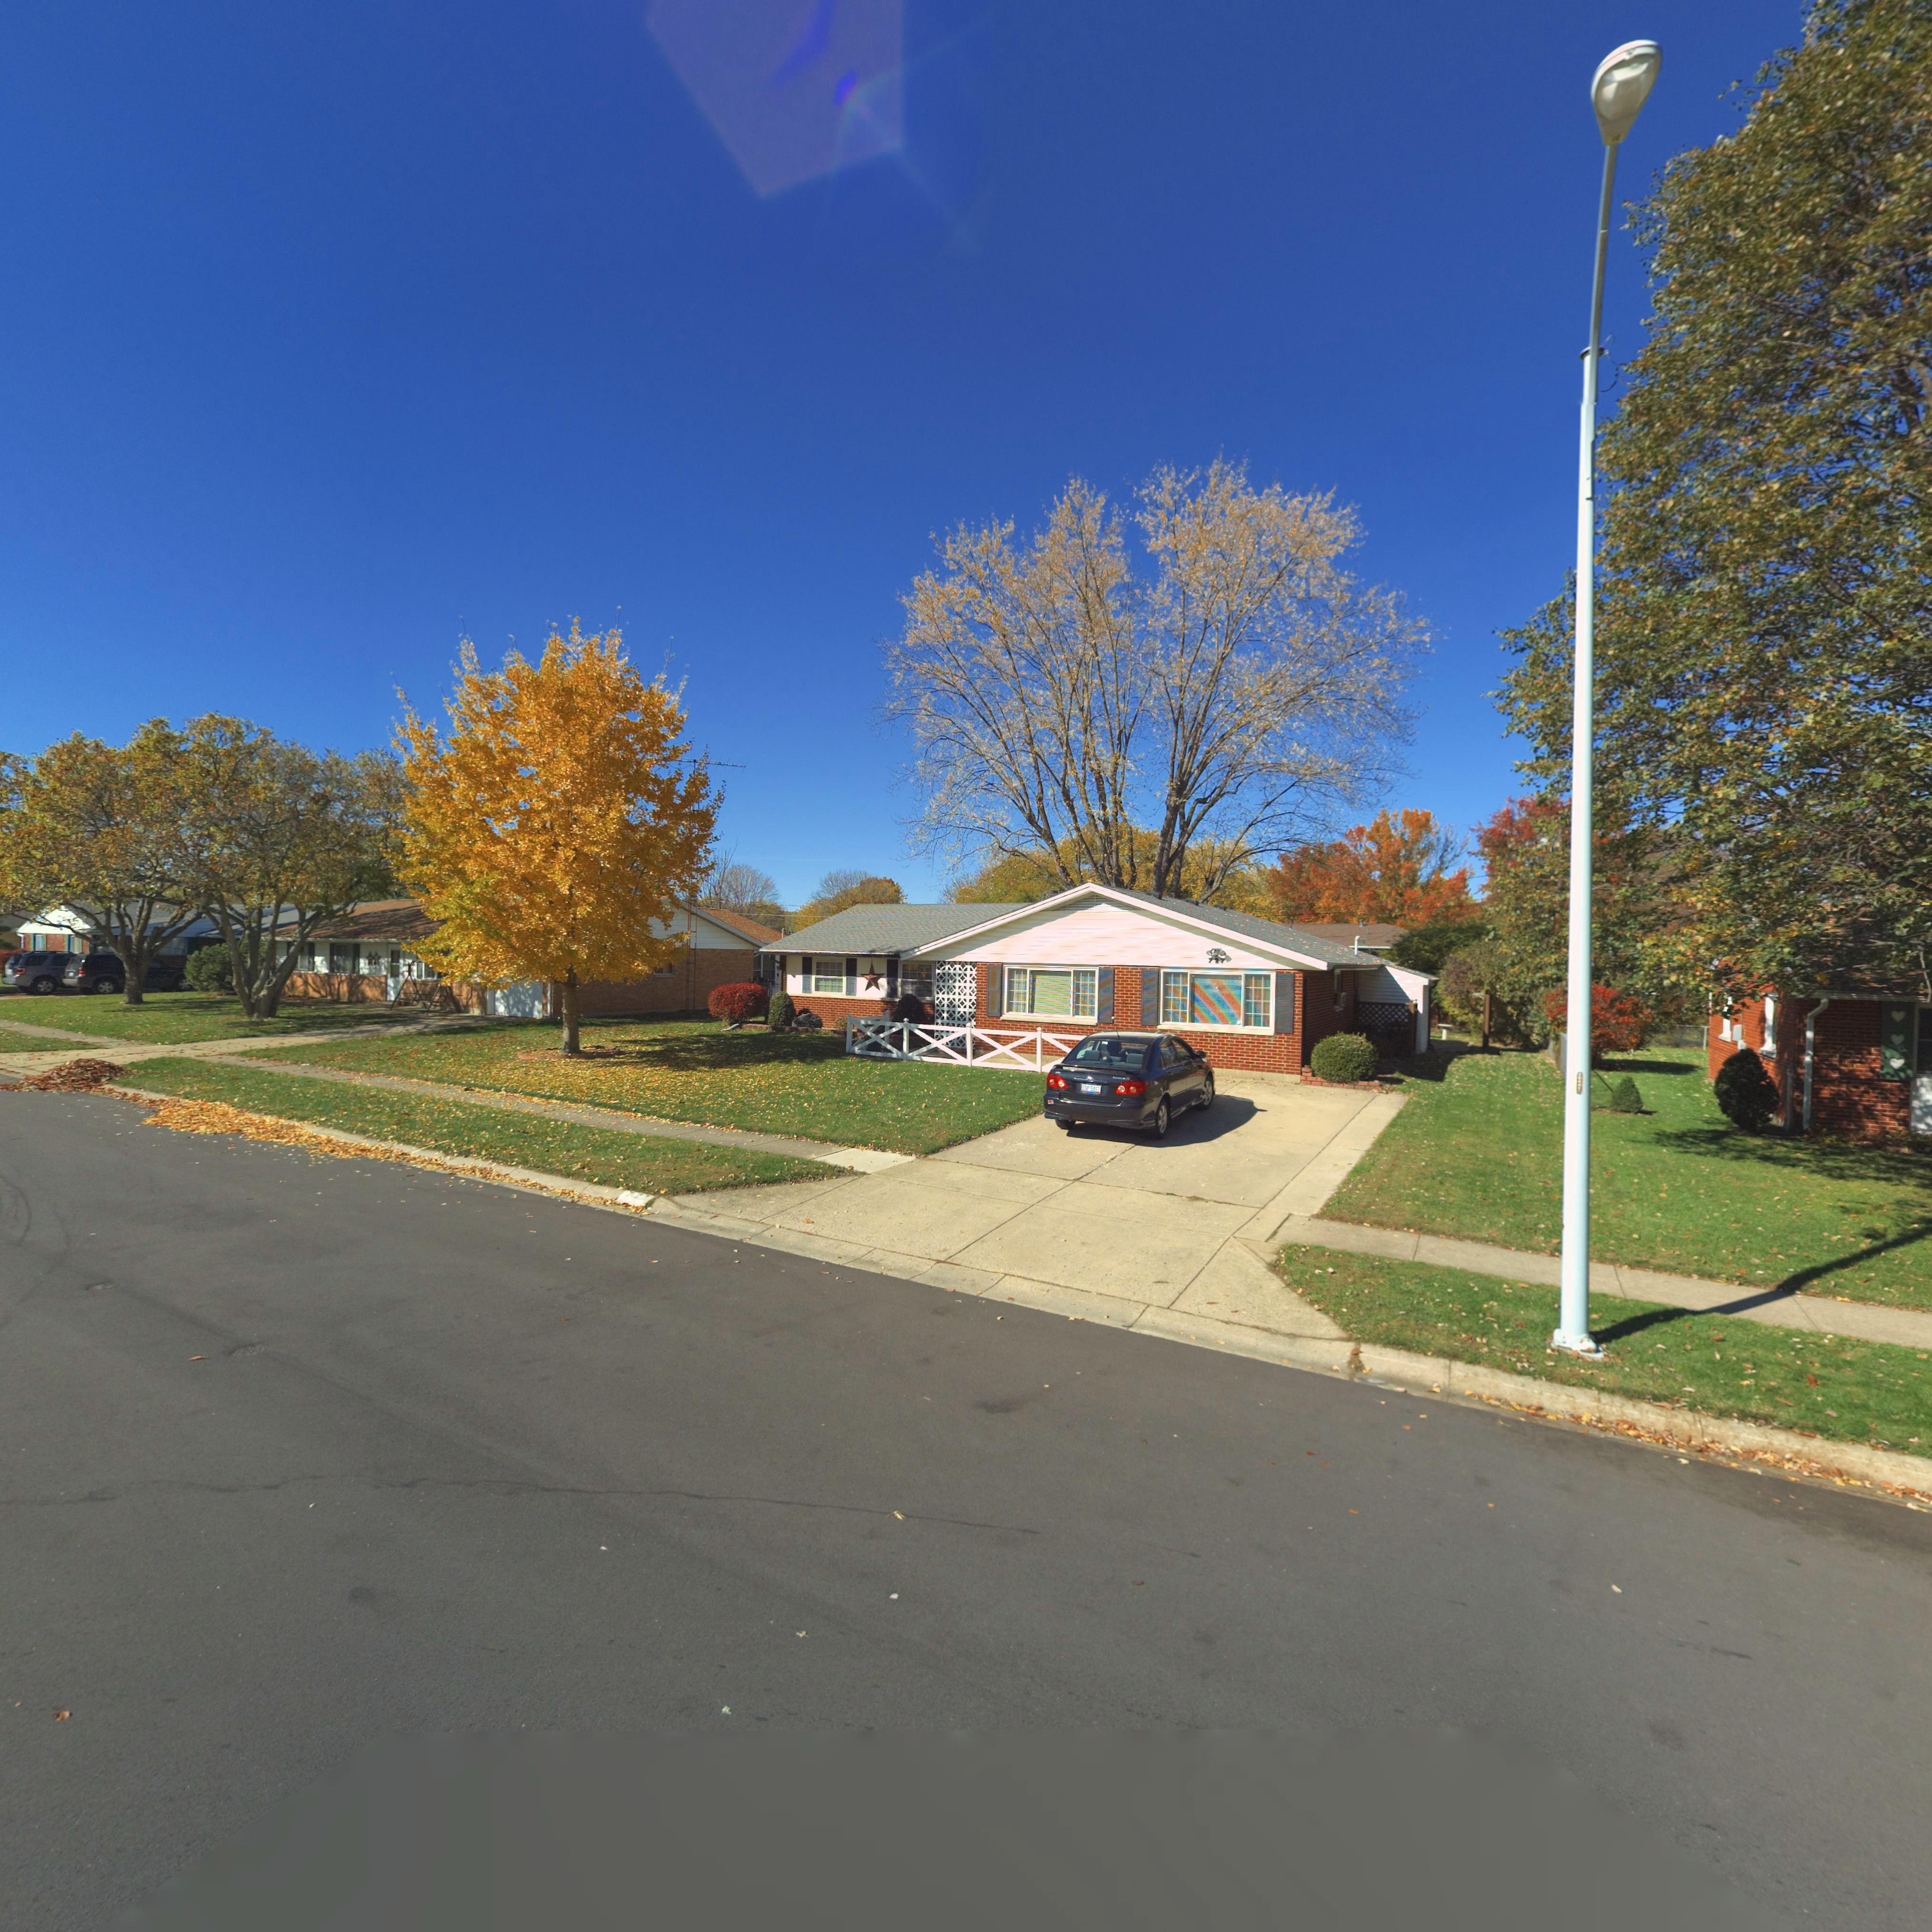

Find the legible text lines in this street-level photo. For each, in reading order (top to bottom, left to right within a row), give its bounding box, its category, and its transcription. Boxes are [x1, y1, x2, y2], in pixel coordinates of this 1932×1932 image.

[1207, 957, 1227, 964] StreetNumber: 727
[1082, 1084, 1101, 1093] None: E*P*5457